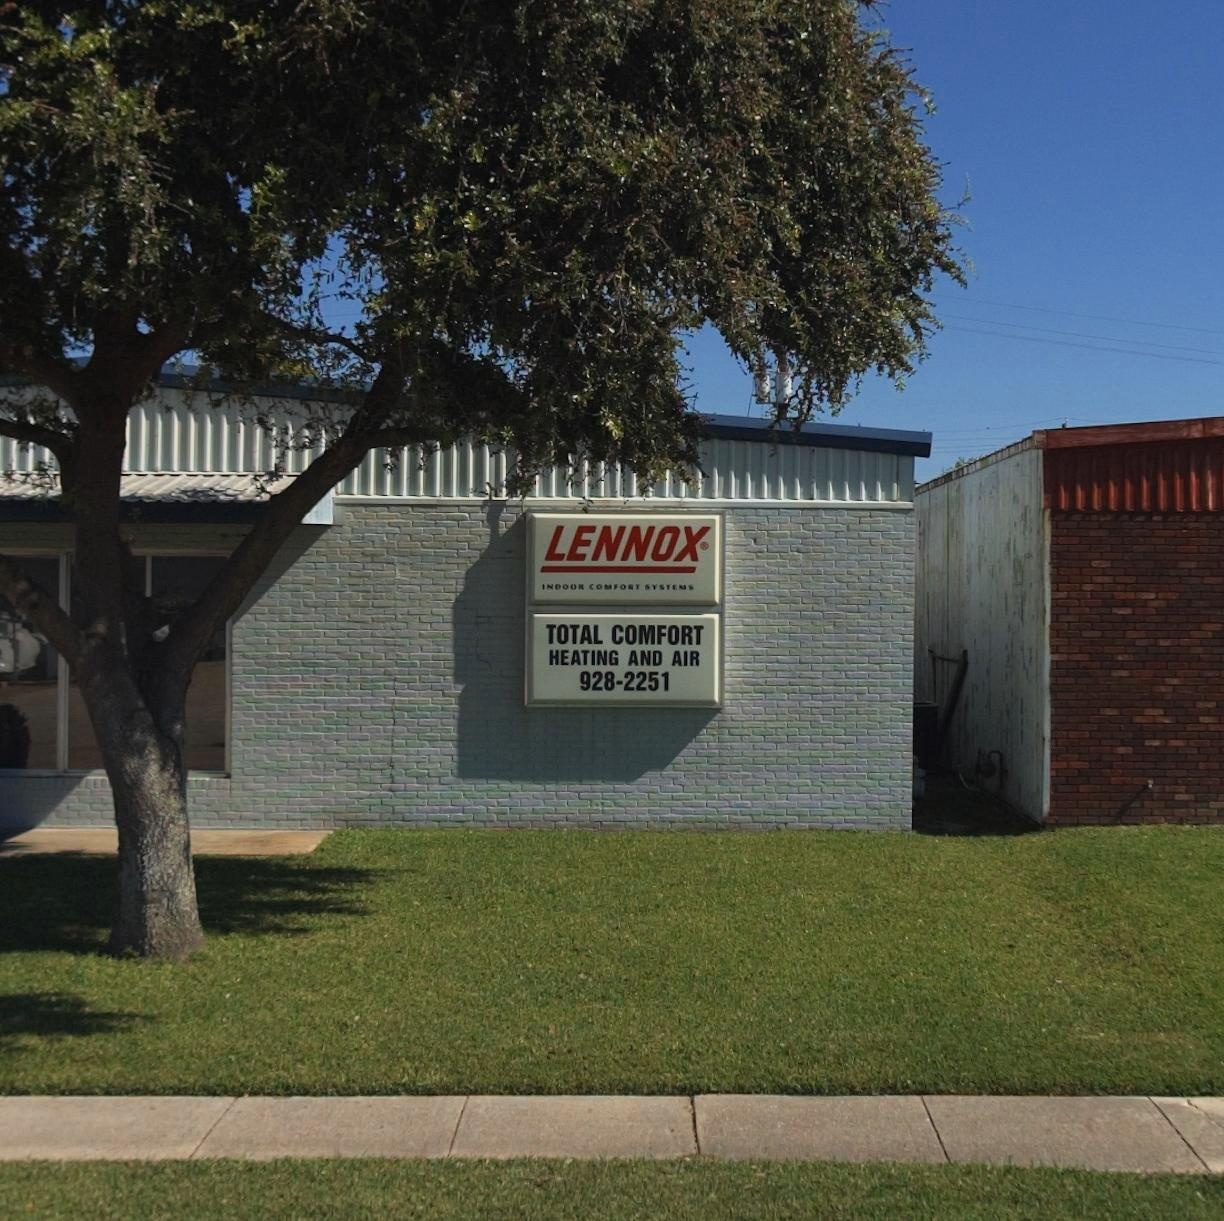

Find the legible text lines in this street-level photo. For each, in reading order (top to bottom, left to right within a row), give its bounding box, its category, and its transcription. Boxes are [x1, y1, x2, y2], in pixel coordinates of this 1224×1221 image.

[538, 521, 715, 565] BusinessName: LENNOX
[539, 581, 697, 593] None: INDOOR COMFORT SYSTEM*
[544, 622, 707, 647] None: TOTAL COMFORT
[546, 647, 703, 669] None: HEATING AND AIR
[578, 669, 673, 695] None: 928-2251